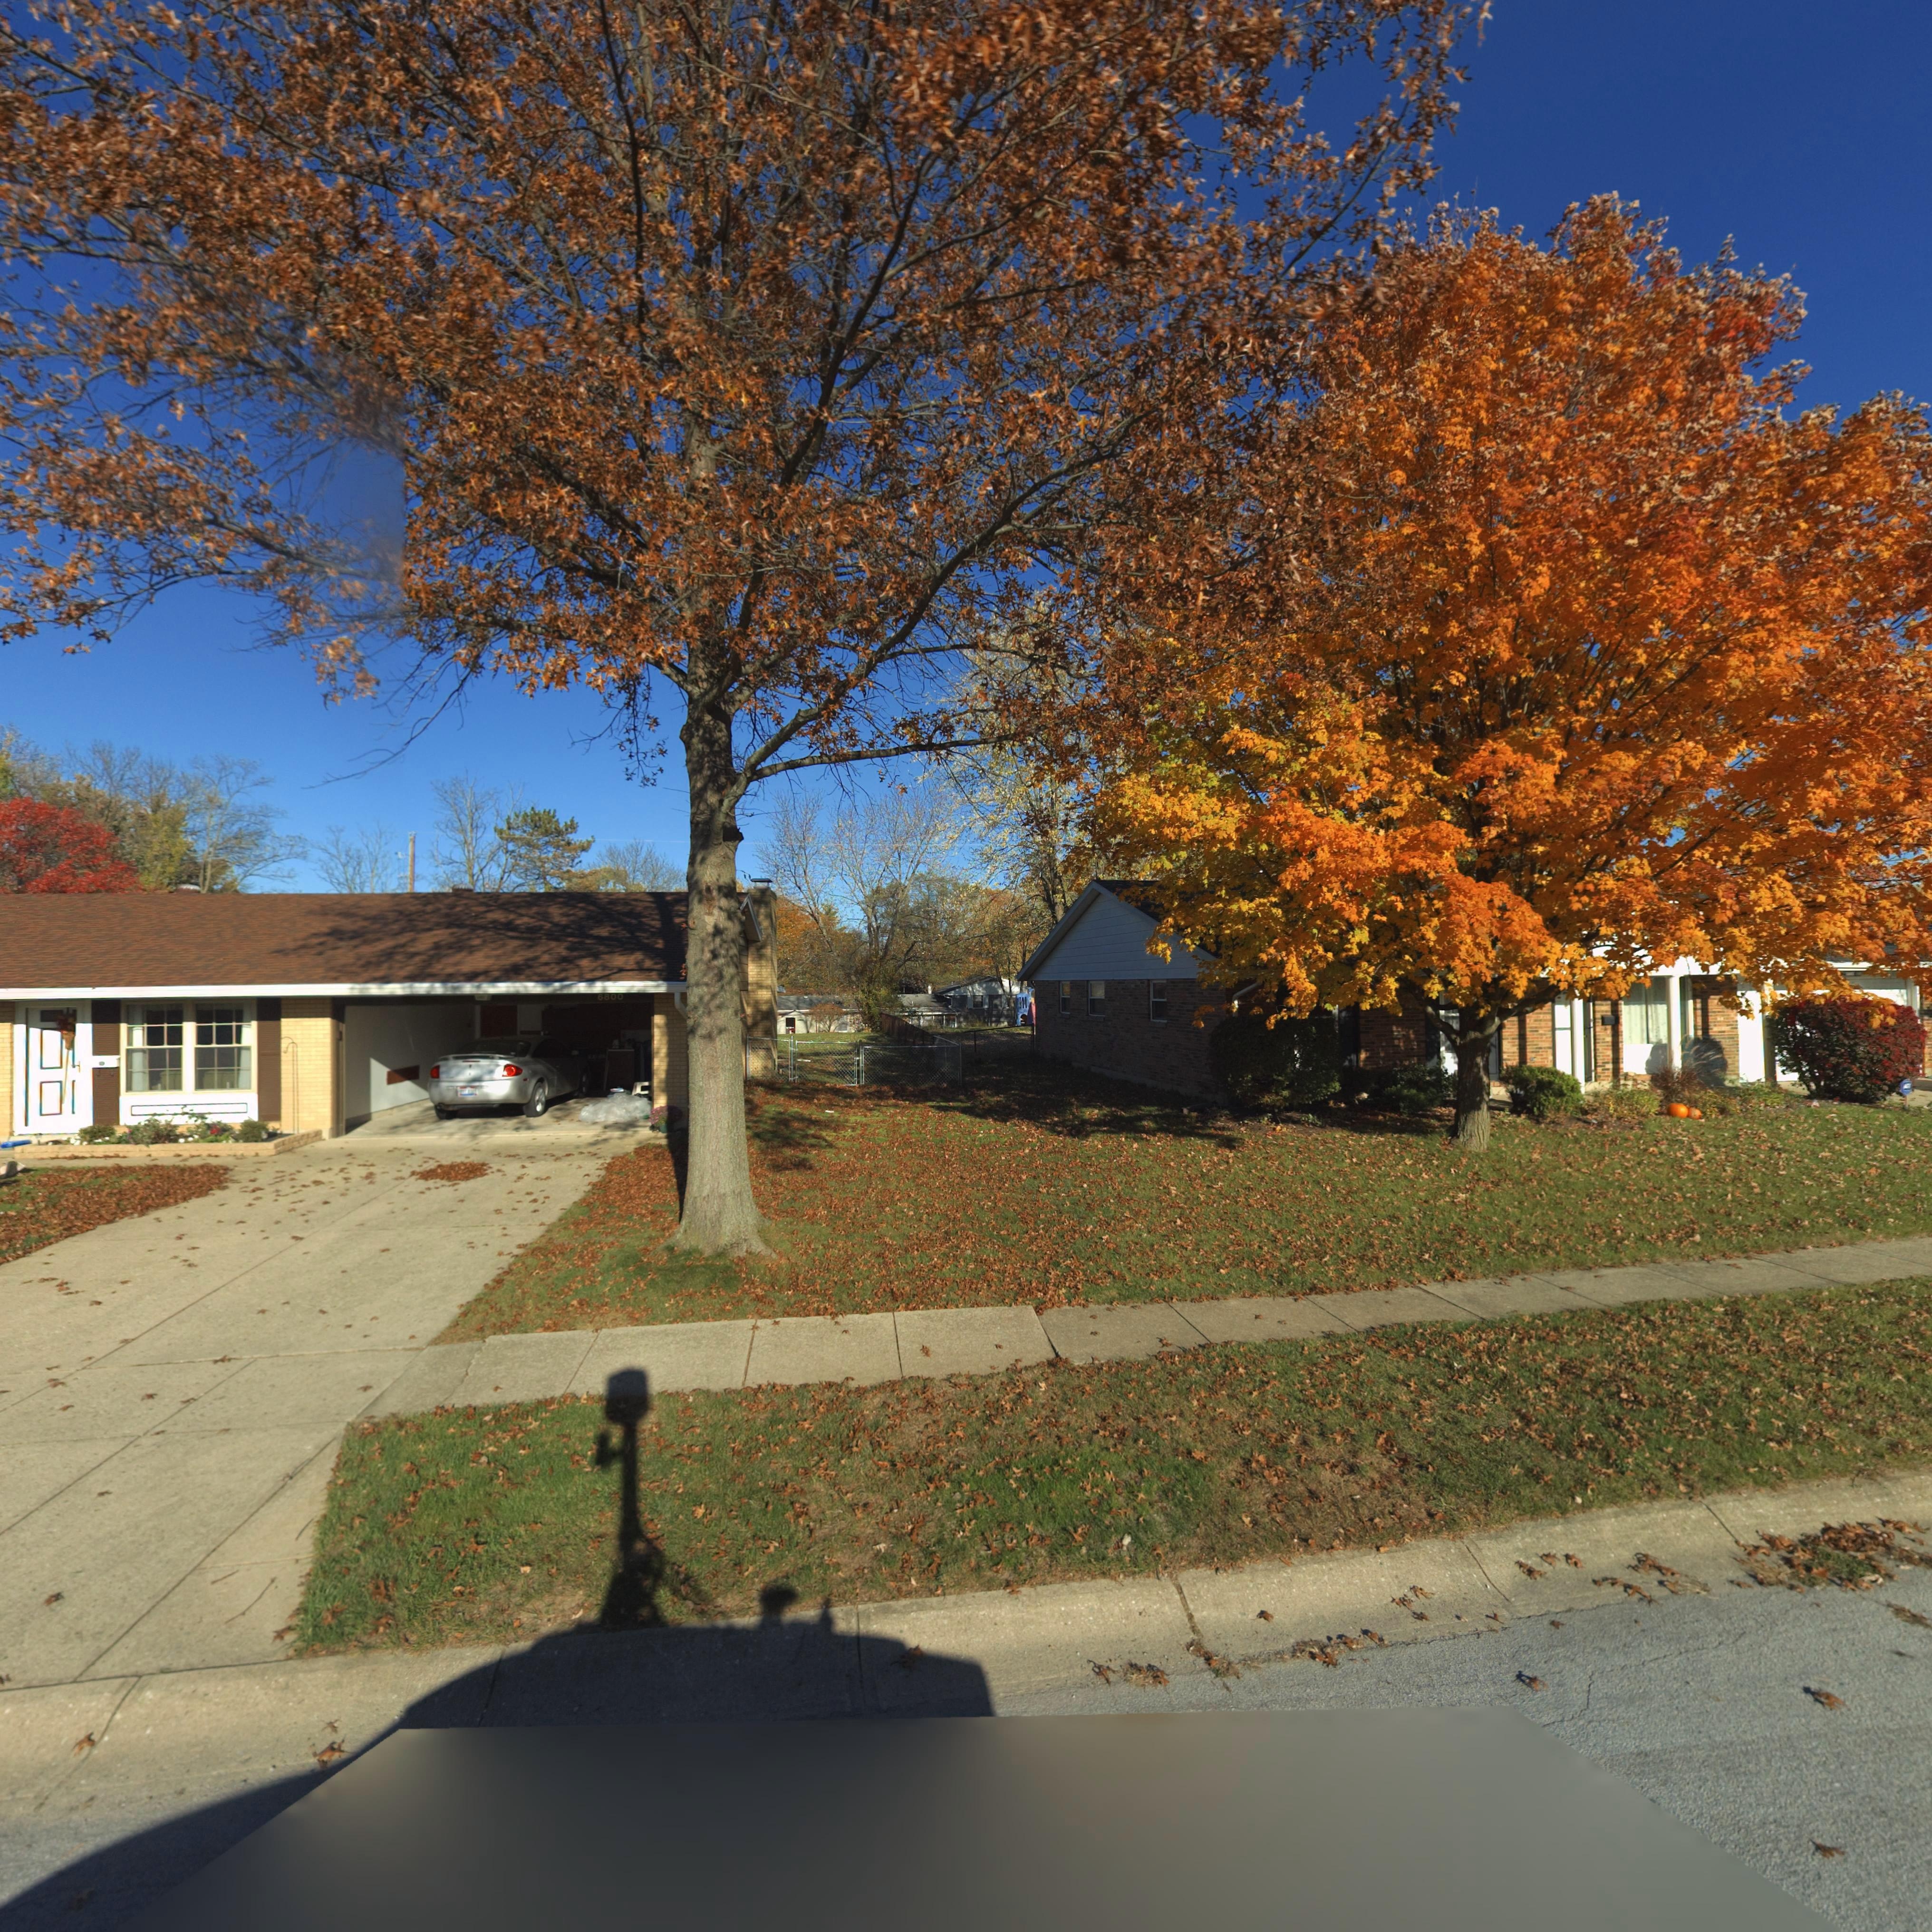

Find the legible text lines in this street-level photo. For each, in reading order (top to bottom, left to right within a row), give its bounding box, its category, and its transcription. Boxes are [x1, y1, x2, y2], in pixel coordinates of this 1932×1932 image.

[597, 993, 625, 1002] StreetNumber: 6800